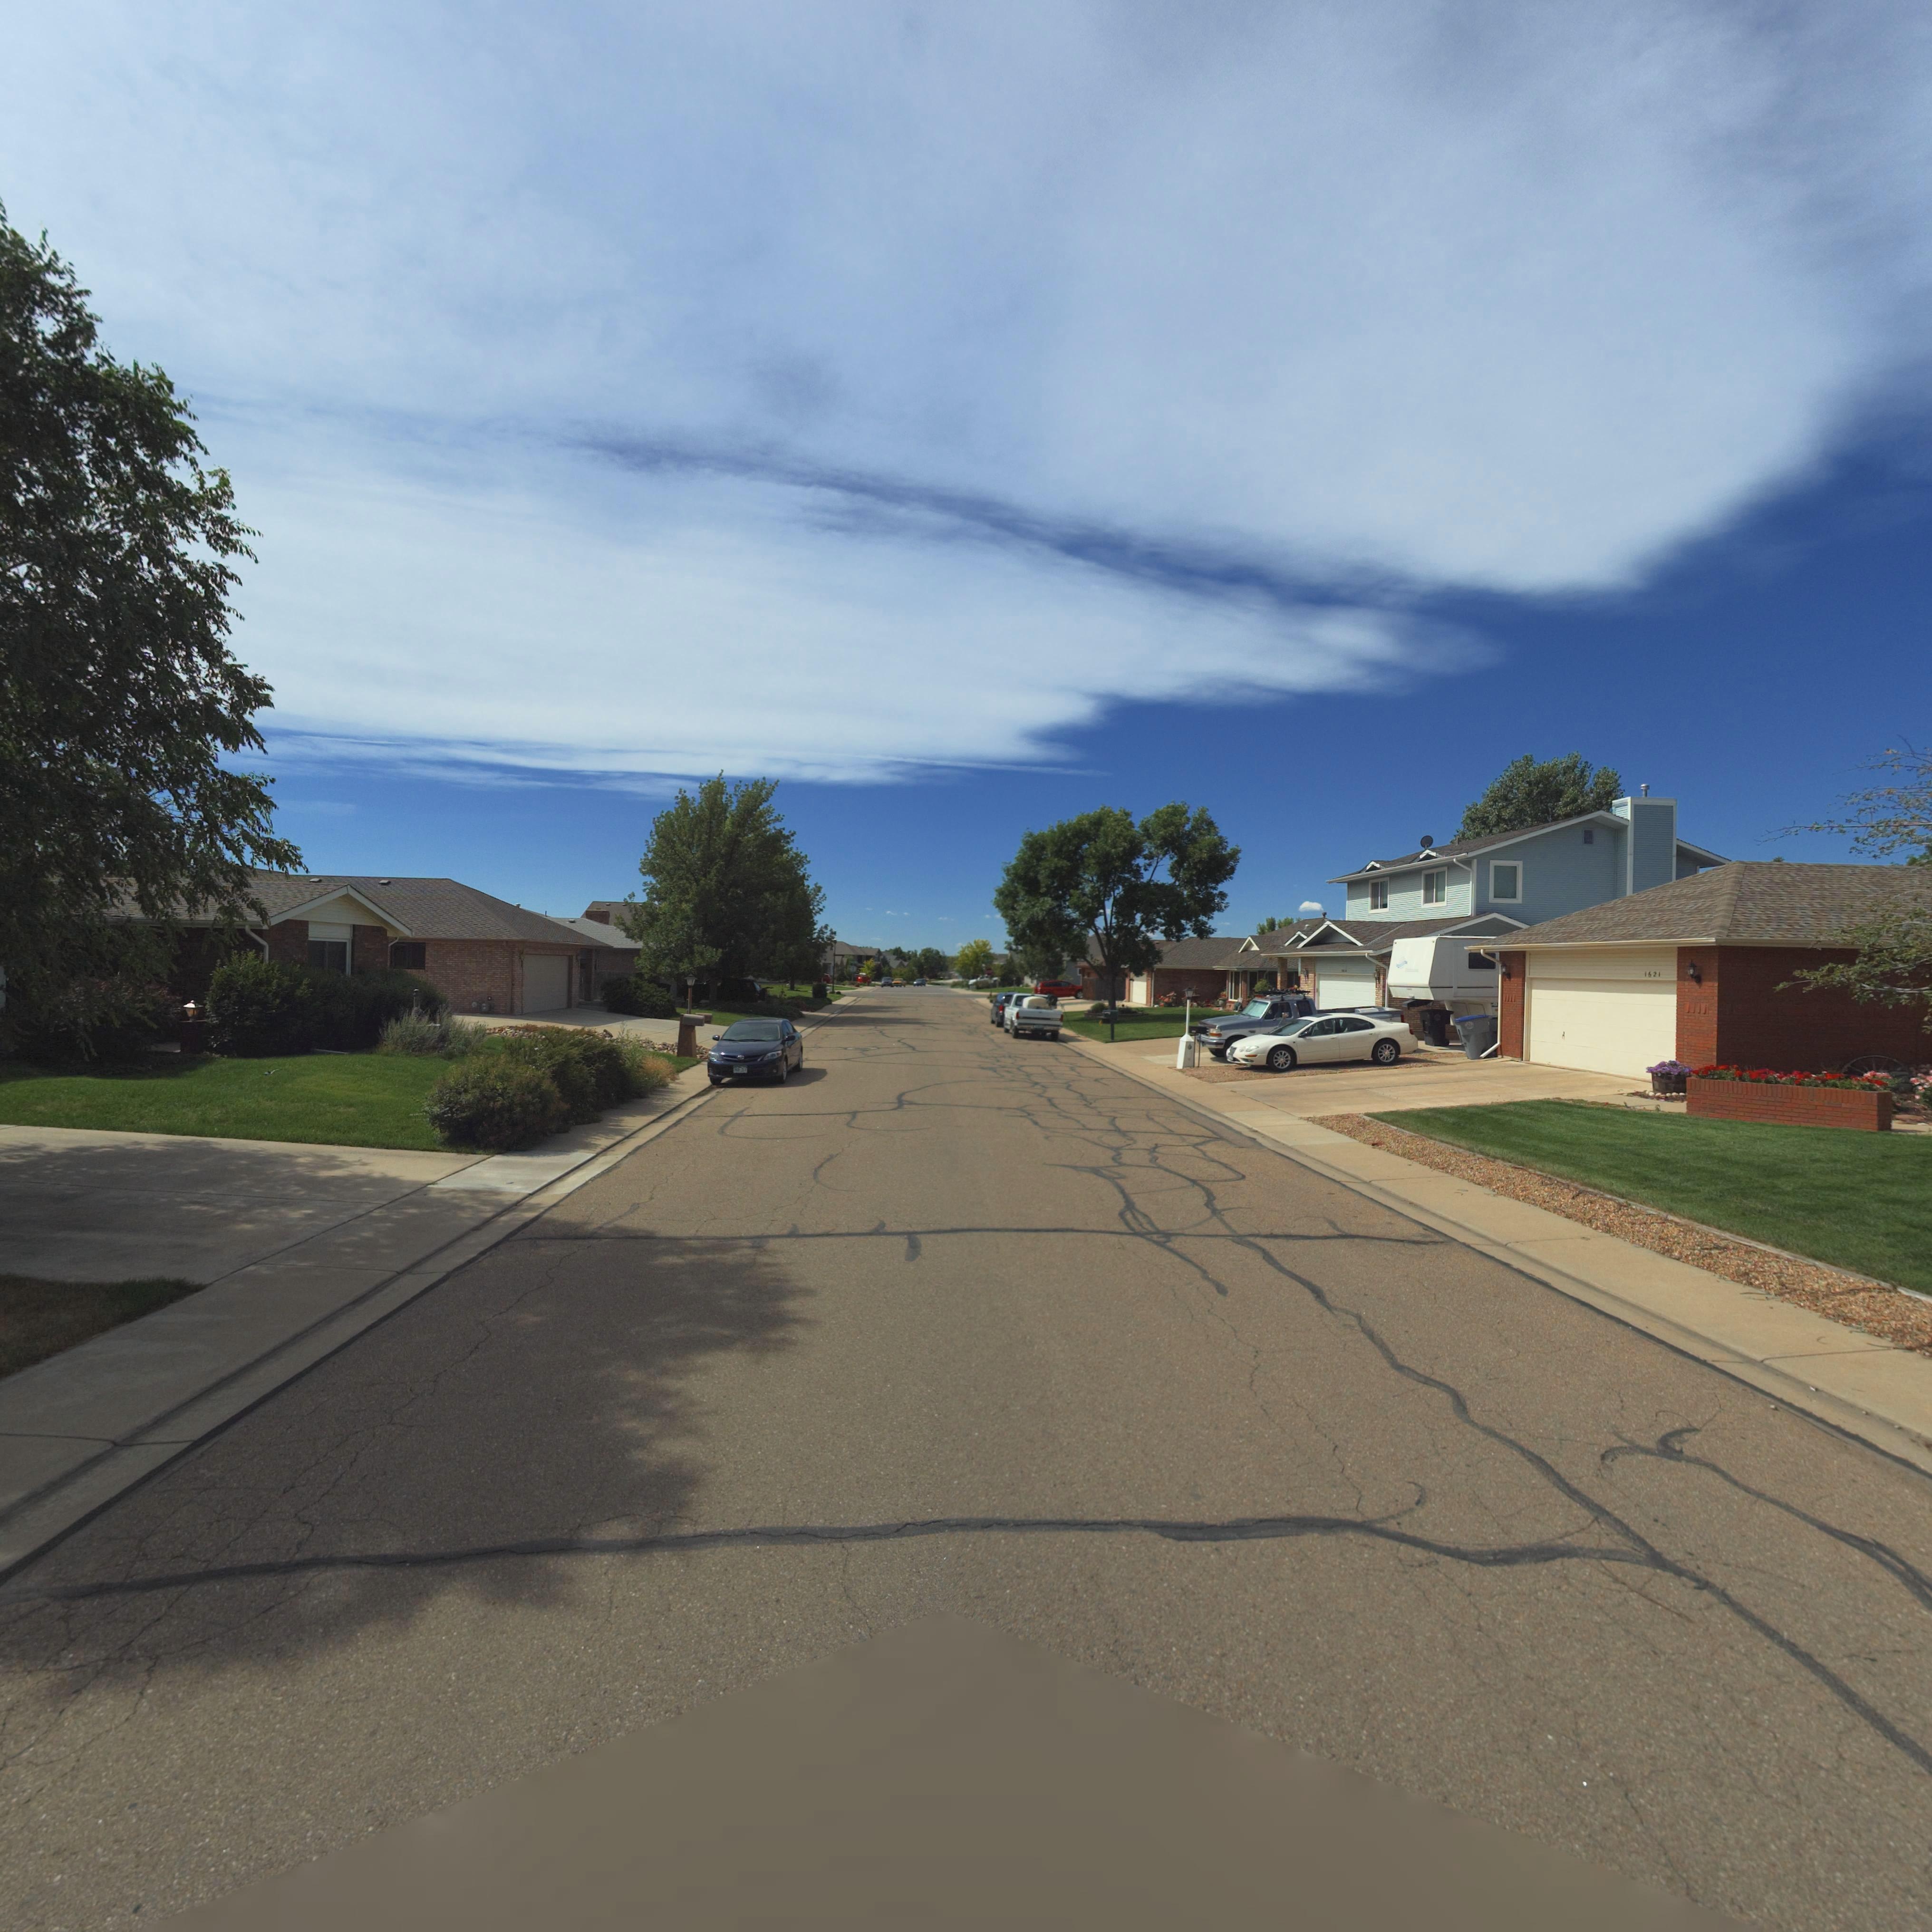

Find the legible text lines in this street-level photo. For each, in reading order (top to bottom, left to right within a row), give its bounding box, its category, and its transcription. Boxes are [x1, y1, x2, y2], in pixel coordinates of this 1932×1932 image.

[1644, 971, 1661, 977] StreetNumber: 1621